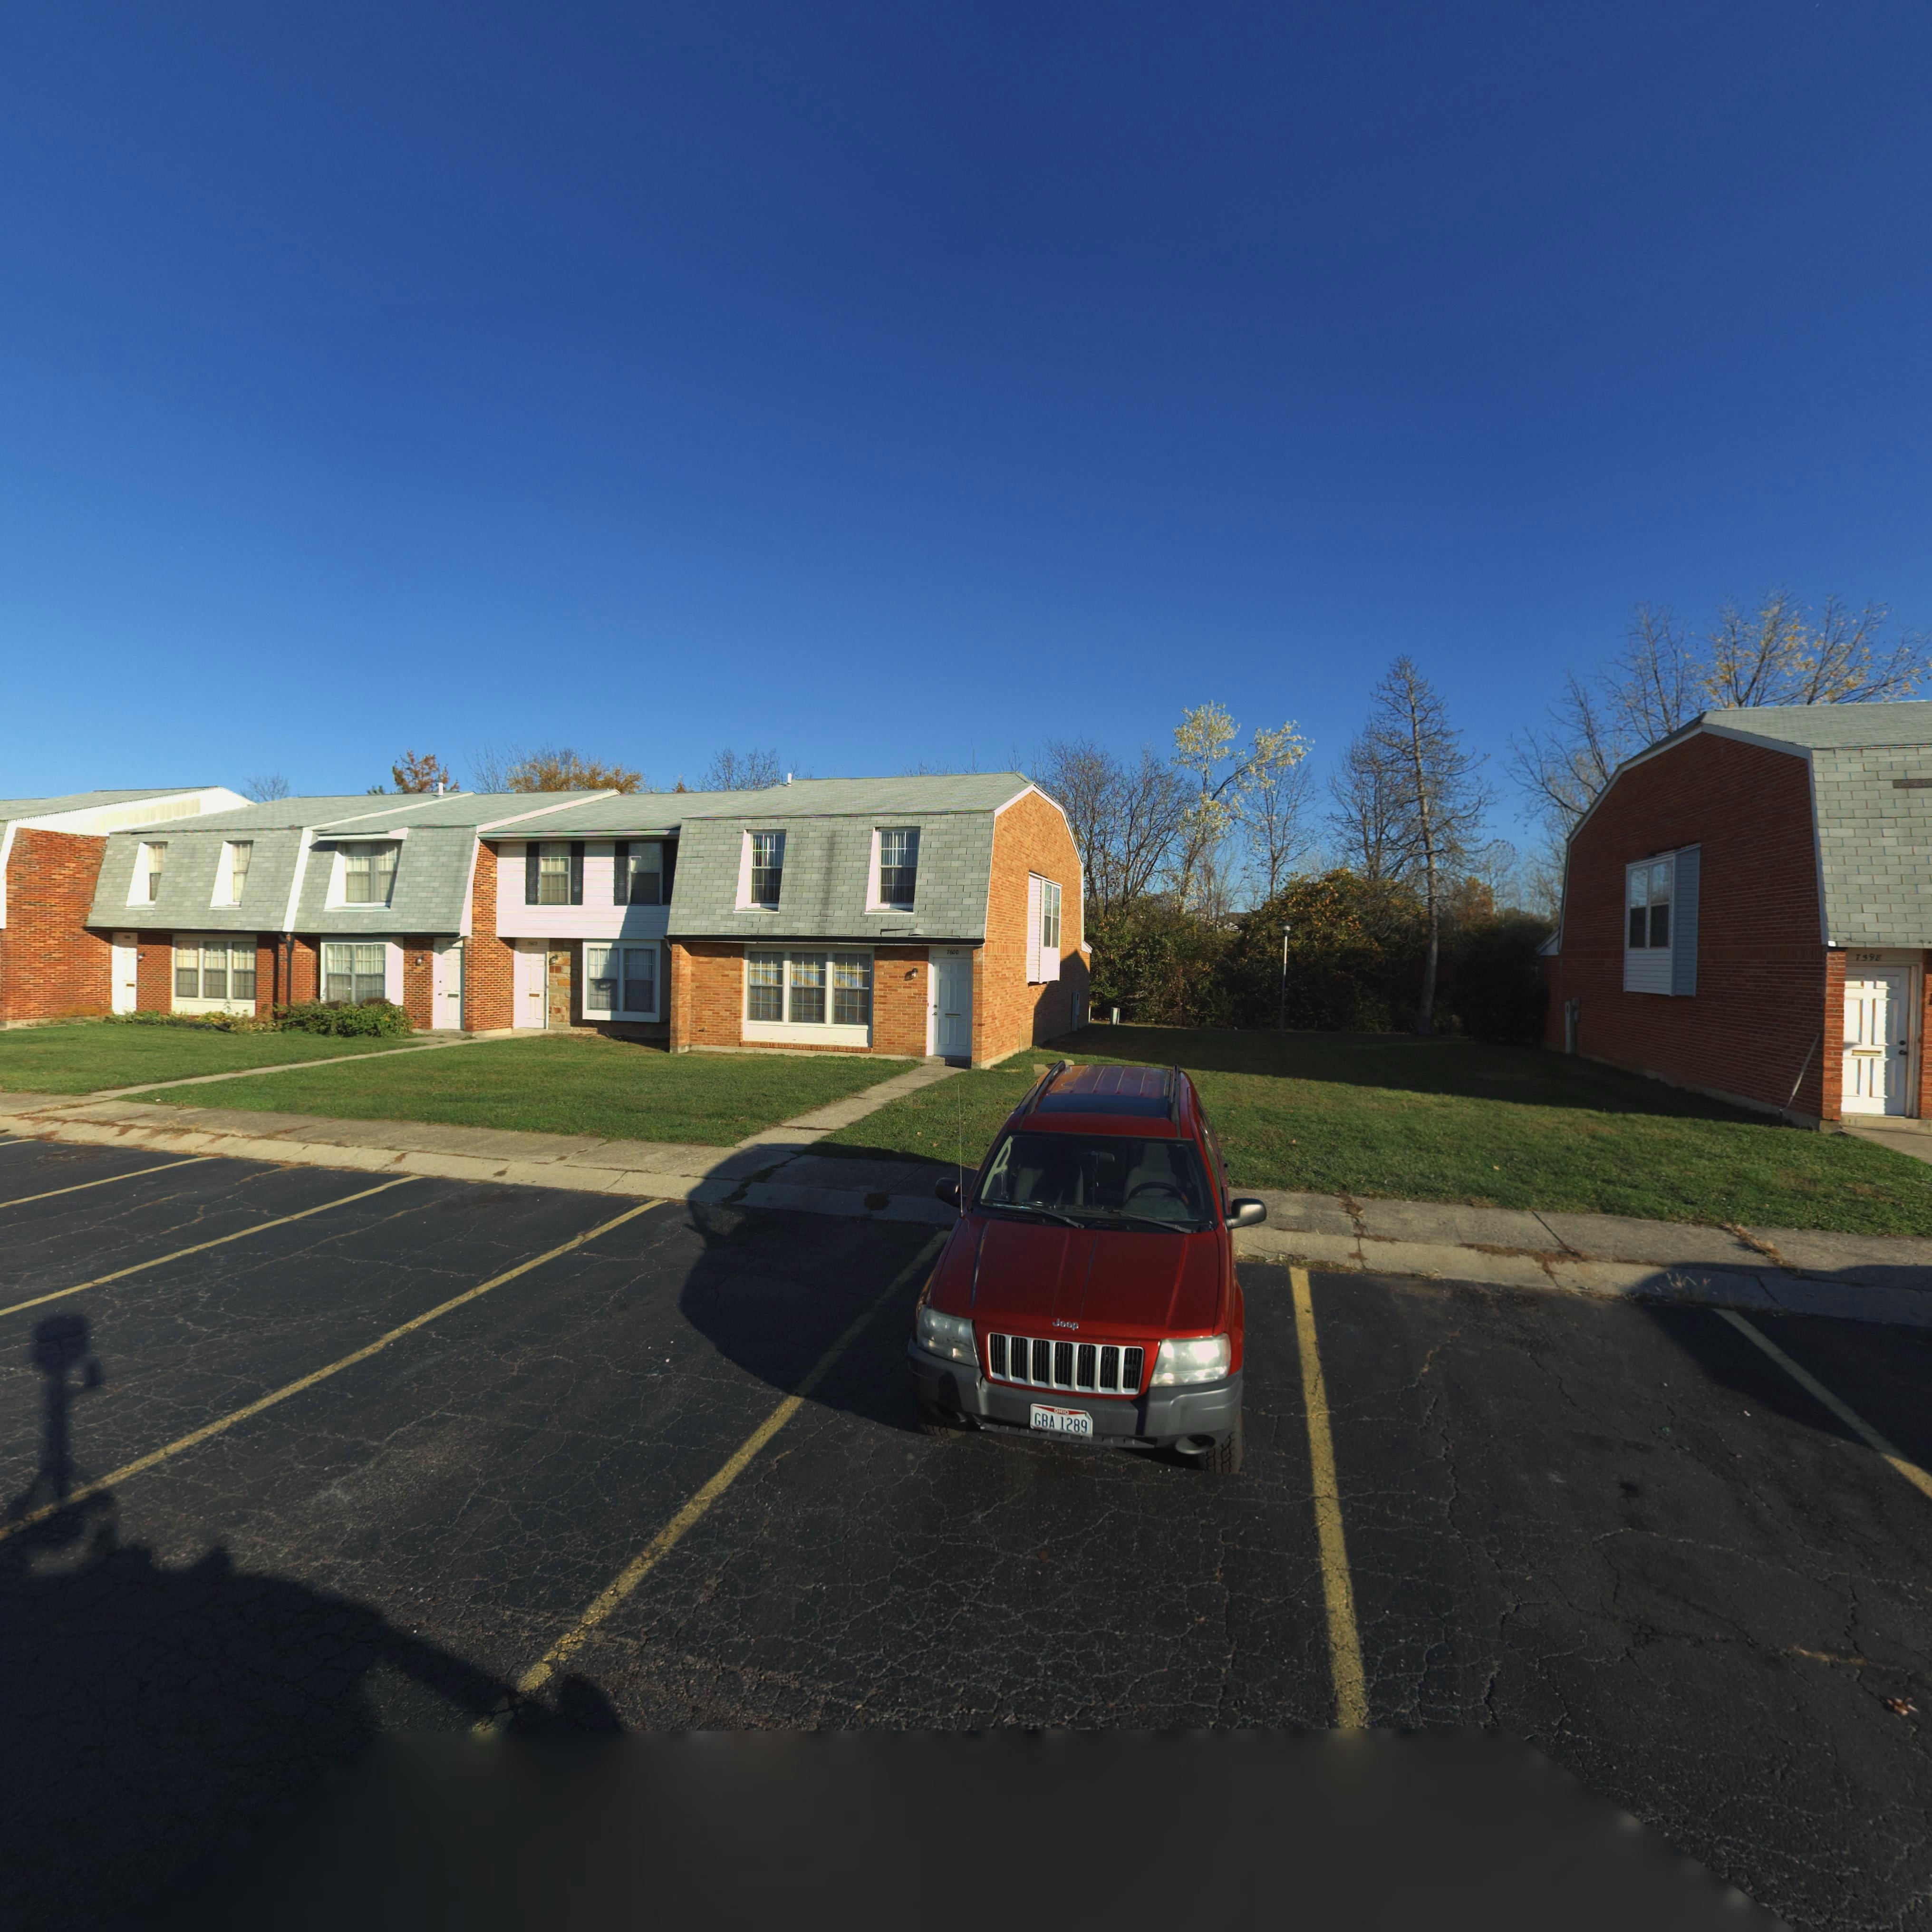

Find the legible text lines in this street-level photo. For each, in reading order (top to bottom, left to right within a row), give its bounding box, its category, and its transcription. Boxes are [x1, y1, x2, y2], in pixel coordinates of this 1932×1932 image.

[946, 948, 960, 956] StreetNumber: 7600
[1855, 952, 1883, 962] StreetNumber: 7598